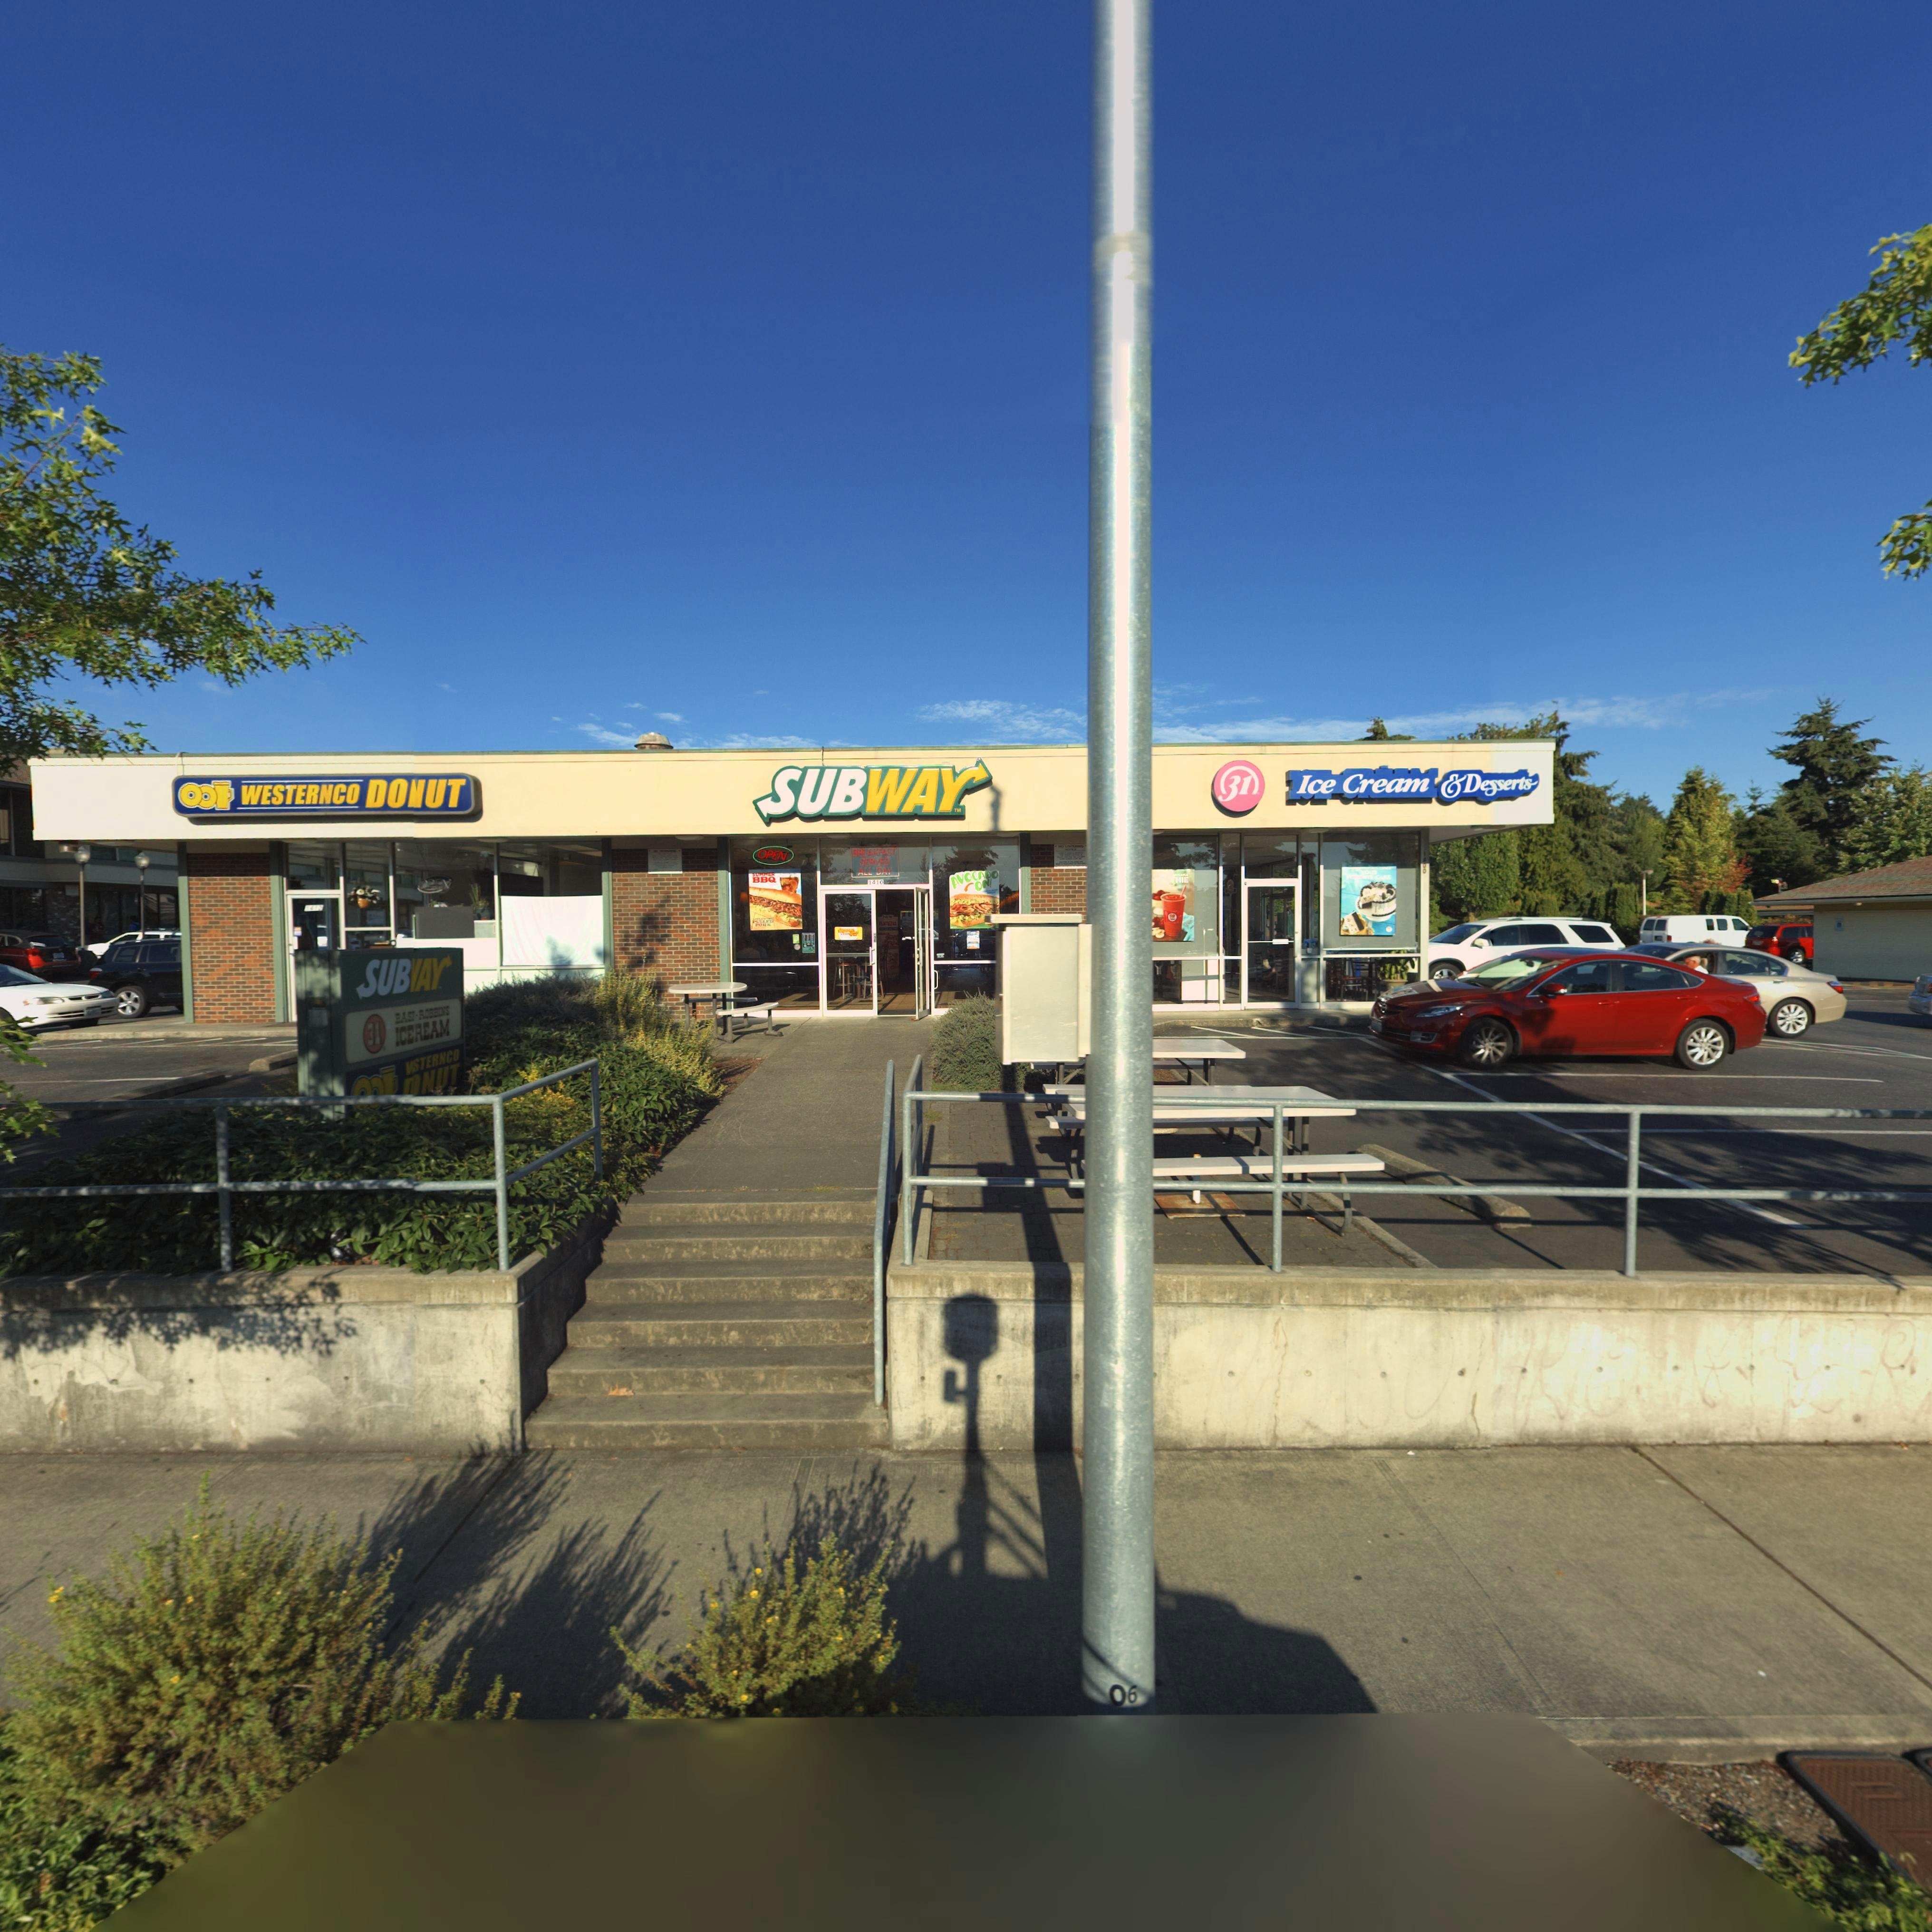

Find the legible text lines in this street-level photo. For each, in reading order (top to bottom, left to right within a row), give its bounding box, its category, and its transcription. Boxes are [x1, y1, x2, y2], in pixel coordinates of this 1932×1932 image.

[177, 779, 234, 811] BusinessName: oo*
[239, 782, 360, 806] None: westernco
[364, 778, 467, 808] BusinessName: DO*UT*
[752, 757, 994, 823] BusinessName: SUBWAY
[1217, 773, 1252, 803] BusinessName: 31
[1292, 772, 1539, 800] BusinessName: ICe Cream *Desserts
[869, 879, 883, 884] StreetNumber: 1410
[356, 955, 452, 1001] BusinessName: SUBWAY
[394, 1005, 450, 1024] BusinessName: BAS*I*ROBBINS
[366, 1020, 381, 1047] BusinessName: 31
[394, 1018, 450, 1047] BusinessName: ICE*REAM
[404, 1047, 460, 1074] BusinessName: *STERNCO
[350, 1064, 399, 1112] BusinessName: oo*
[403, 1062, 461, 1101] BusinessName: D*NUT